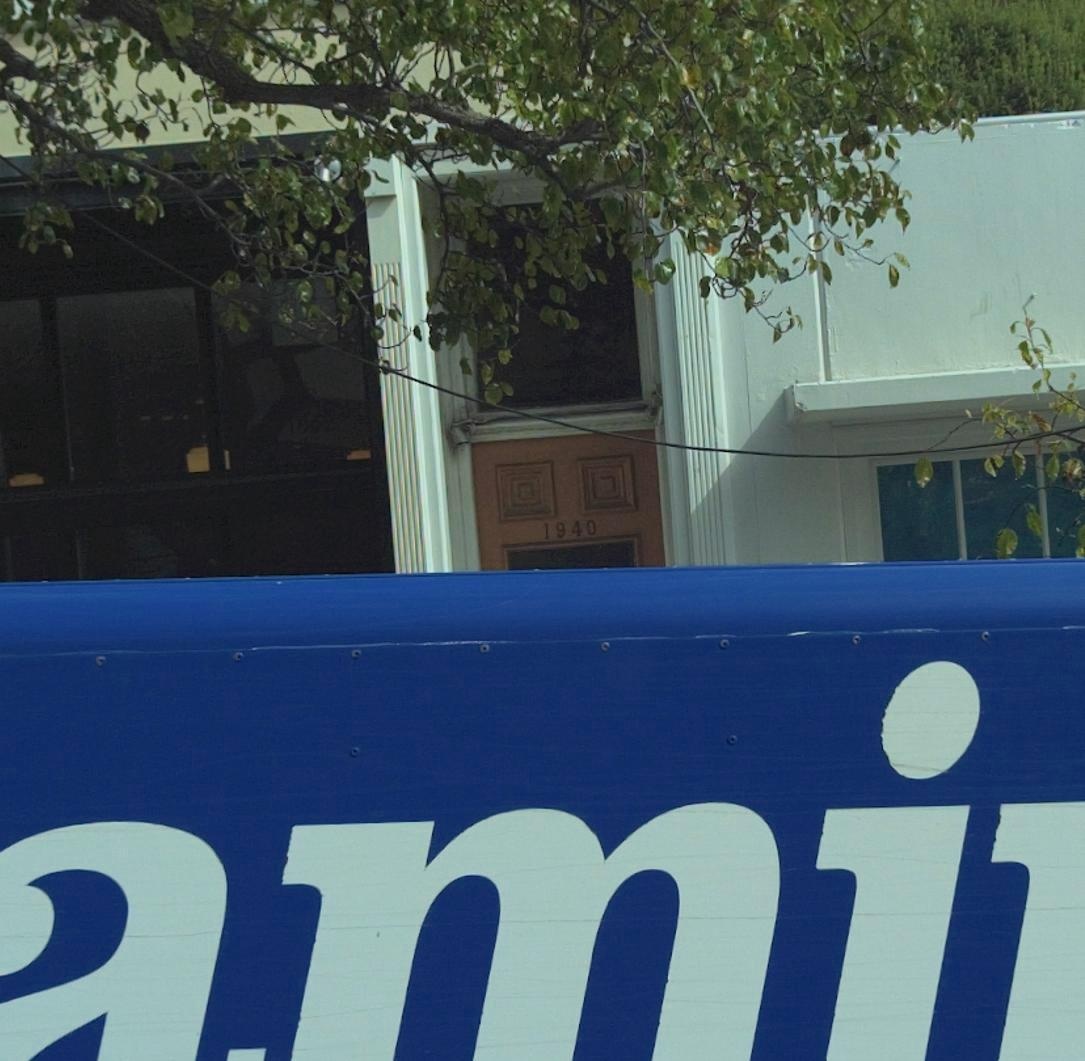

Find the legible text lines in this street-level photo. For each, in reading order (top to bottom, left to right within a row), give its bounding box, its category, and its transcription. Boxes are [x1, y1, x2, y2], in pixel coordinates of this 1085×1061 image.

[541, 516, 600, 543] StreetNumber: 1940